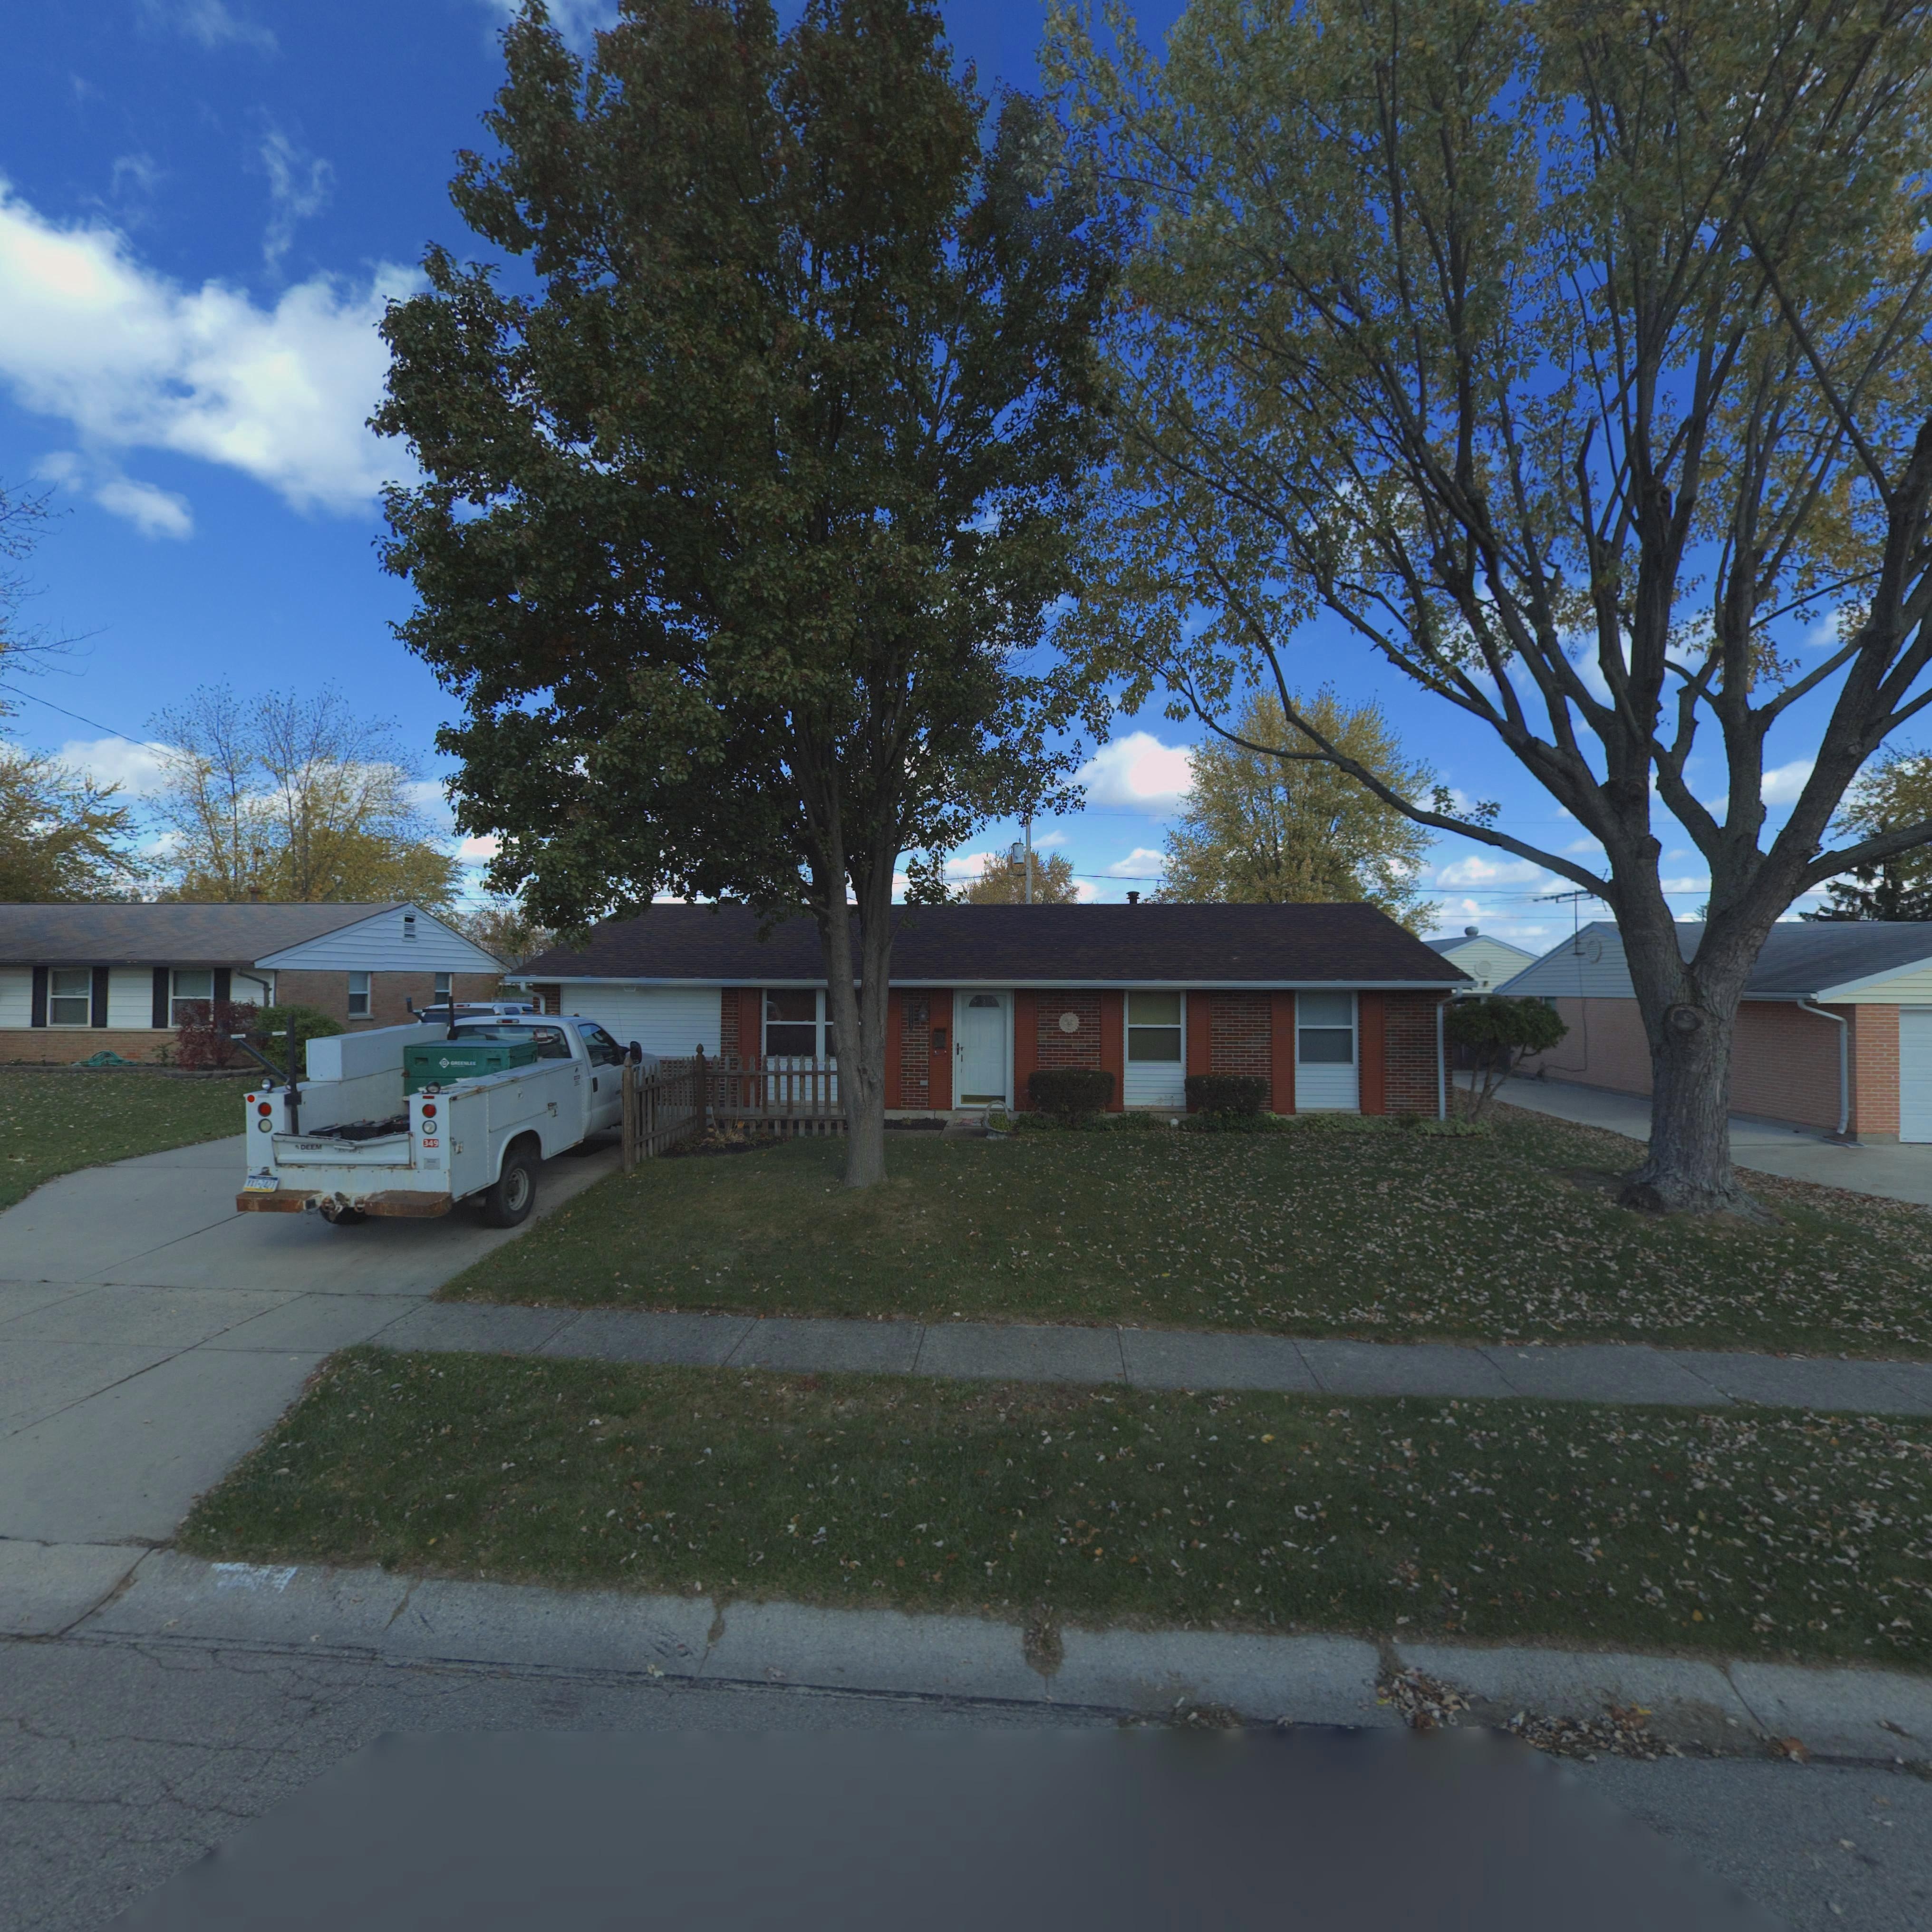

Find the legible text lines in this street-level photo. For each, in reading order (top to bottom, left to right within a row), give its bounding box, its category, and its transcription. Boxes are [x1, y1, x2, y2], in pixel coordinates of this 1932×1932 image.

[909, 1004, 913, 1028] StreetNumber: 7875